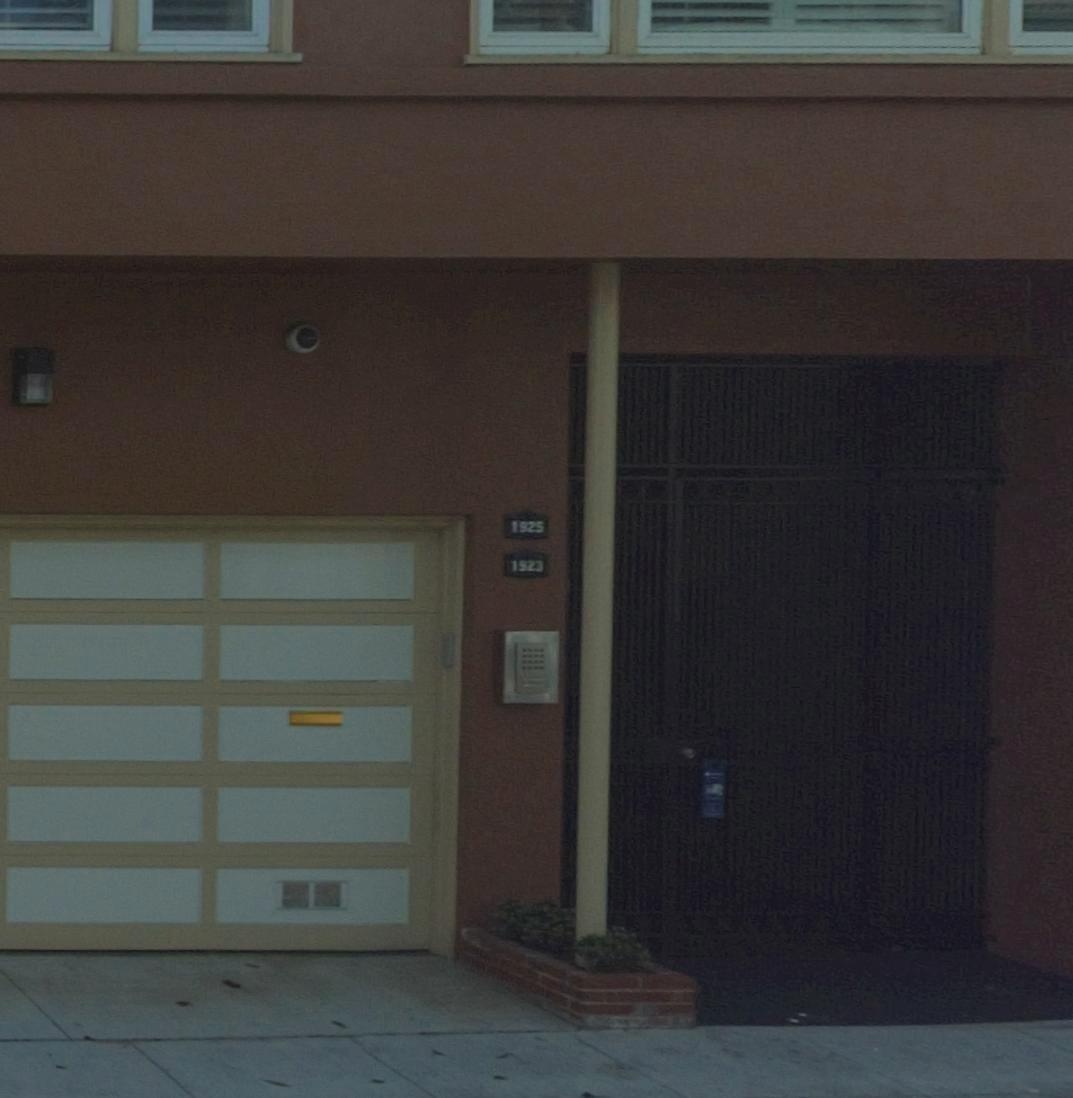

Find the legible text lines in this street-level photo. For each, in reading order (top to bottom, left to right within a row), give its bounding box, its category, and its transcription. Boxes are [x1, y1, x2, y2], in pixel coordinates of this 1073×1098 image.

[508, 518, 547, 536] StreetNumber: 1925
[509, 556, 546, 575] StreetNumber: 1923